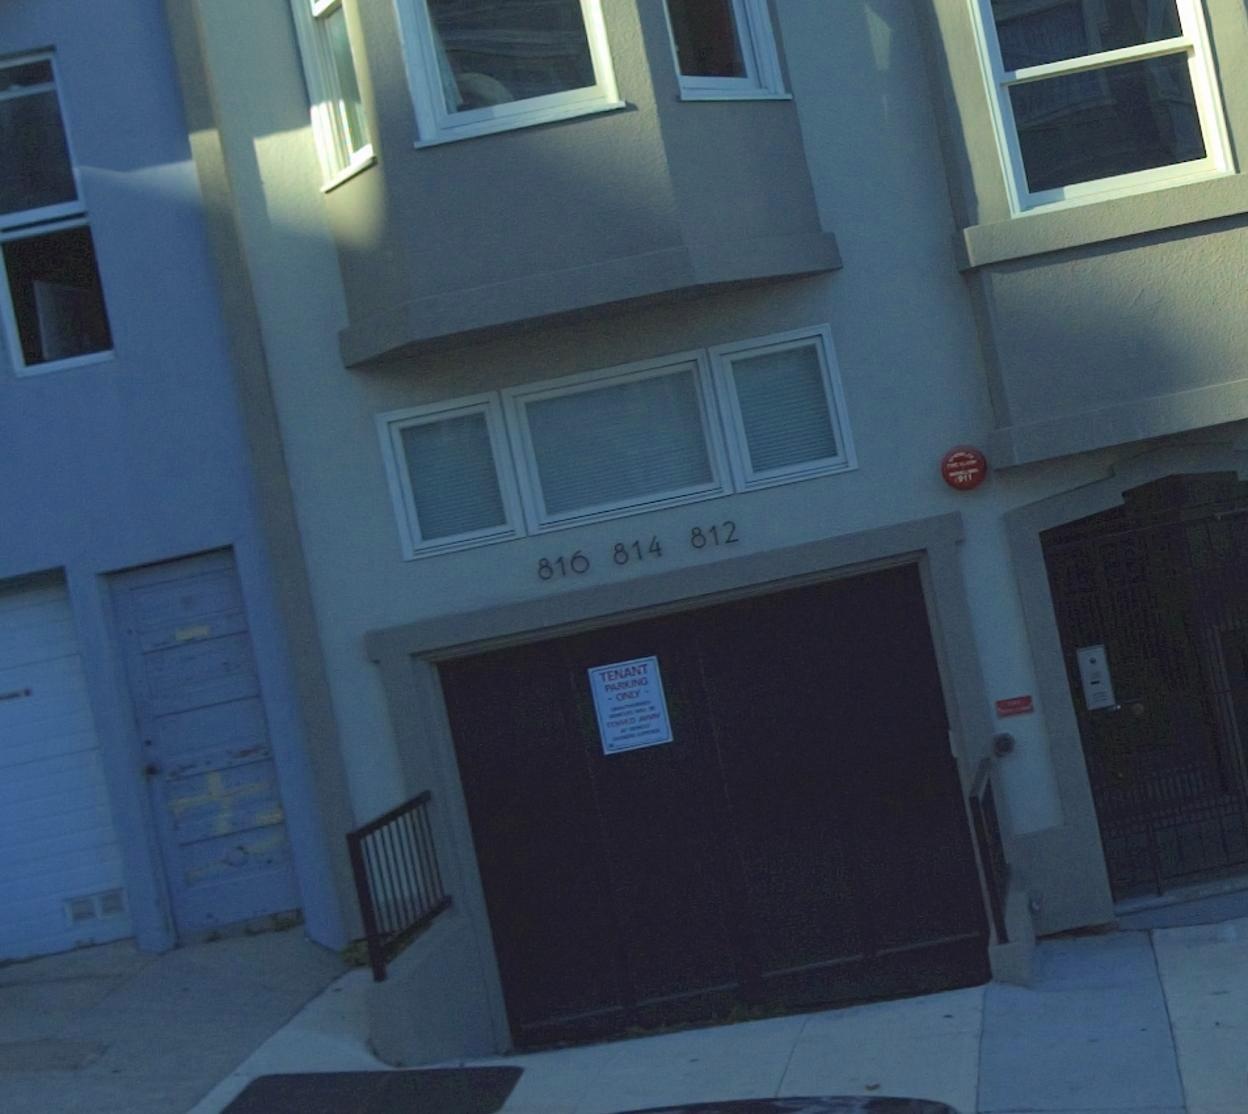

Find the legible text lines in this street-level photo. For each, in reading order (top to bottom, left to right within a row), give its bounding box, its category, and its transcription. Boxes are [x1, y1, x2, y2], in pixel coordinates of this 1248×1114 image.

[956, 472, 973, 484] None: 911
[688, 518, 742, 553] StreetNumber: 812
[612, 532, 666, 570] StreetNumber: 814
[534, 548, 594, 583] StreetNumber: 816
[597, 661, 650, 683] None: TENANT
[602, 675, 649, 694] None: PARKING
[615, 687, 642, 703] None: ONLY
[605, 711, 662, 729] None: TOWED AWAY